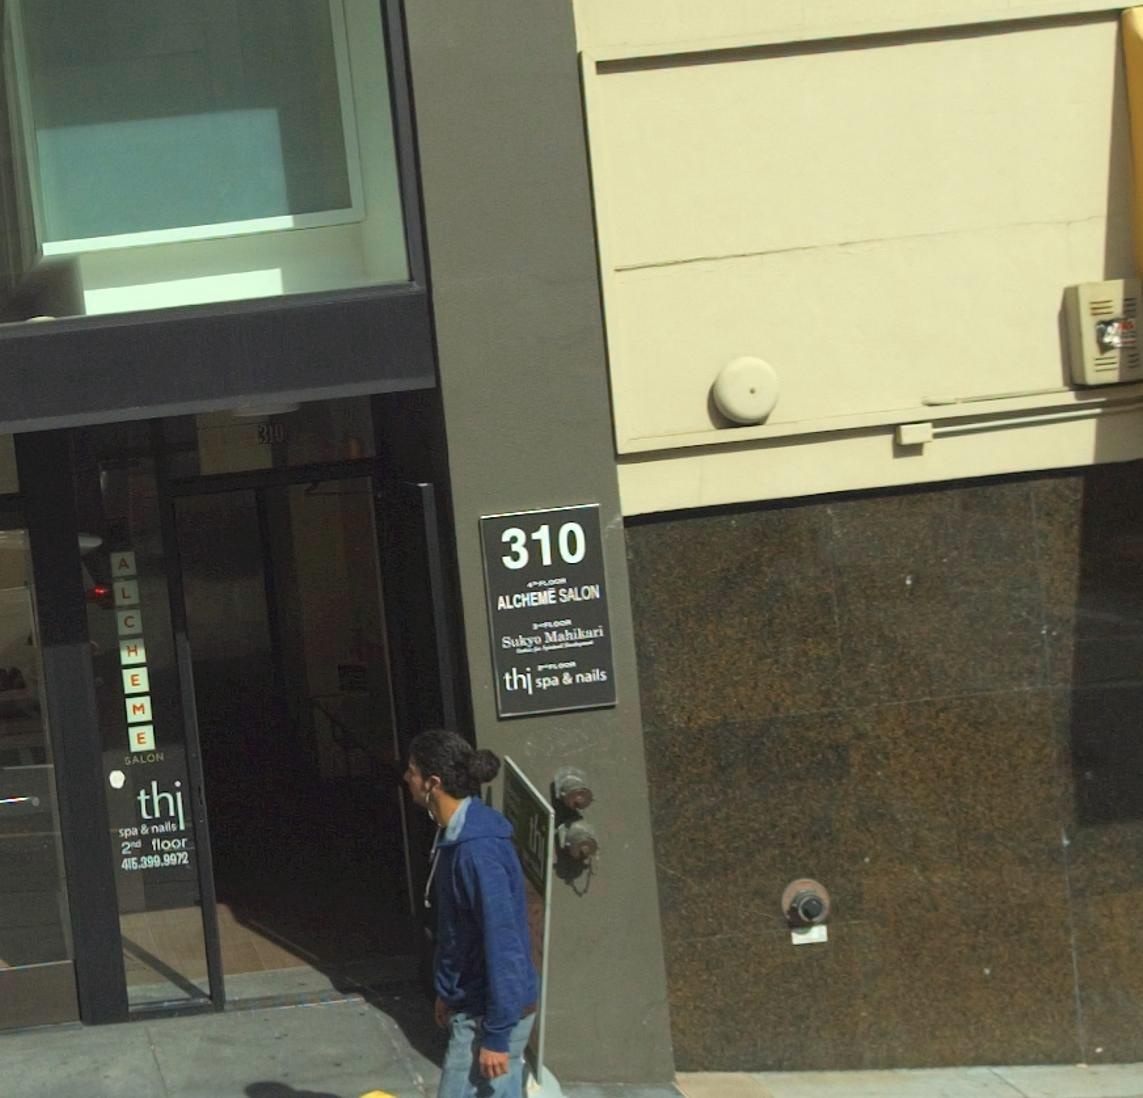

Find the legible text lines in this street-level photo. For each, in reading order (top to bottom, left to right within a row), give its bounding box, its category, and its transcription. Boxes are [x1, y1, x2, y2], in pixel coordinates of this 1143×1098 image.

[493, 515, 594, 576] StreetNumber: 310
[522, 575, 569, 591] None: FLOOR
[492, 579, 604, 616] BusinessName: ALCHEME SALON
[114, 552, 150, 749] BusinessName: ALCHEME
[496, 620, 606, 655] BusinessName: Sukyo Mahikari
[527, 616, 576, 632] None: 3** FLOOR
[501, 659, 536, 697] BusinessName: thi
[545, 659, 581, 674] None: FLOOR
[531, 665, 609, 693] BusinessName: spa & nails
[121, 749, 168, 768] BusinessName: SALON
[134, 774, 189, 837] BusinessName: thi
[115, 818, 181, 840] BusinessName: spa & nails
[118, 834, 192, 859] None: 2*d floor
[118, 850, 193, 875] None: 415.399.9972